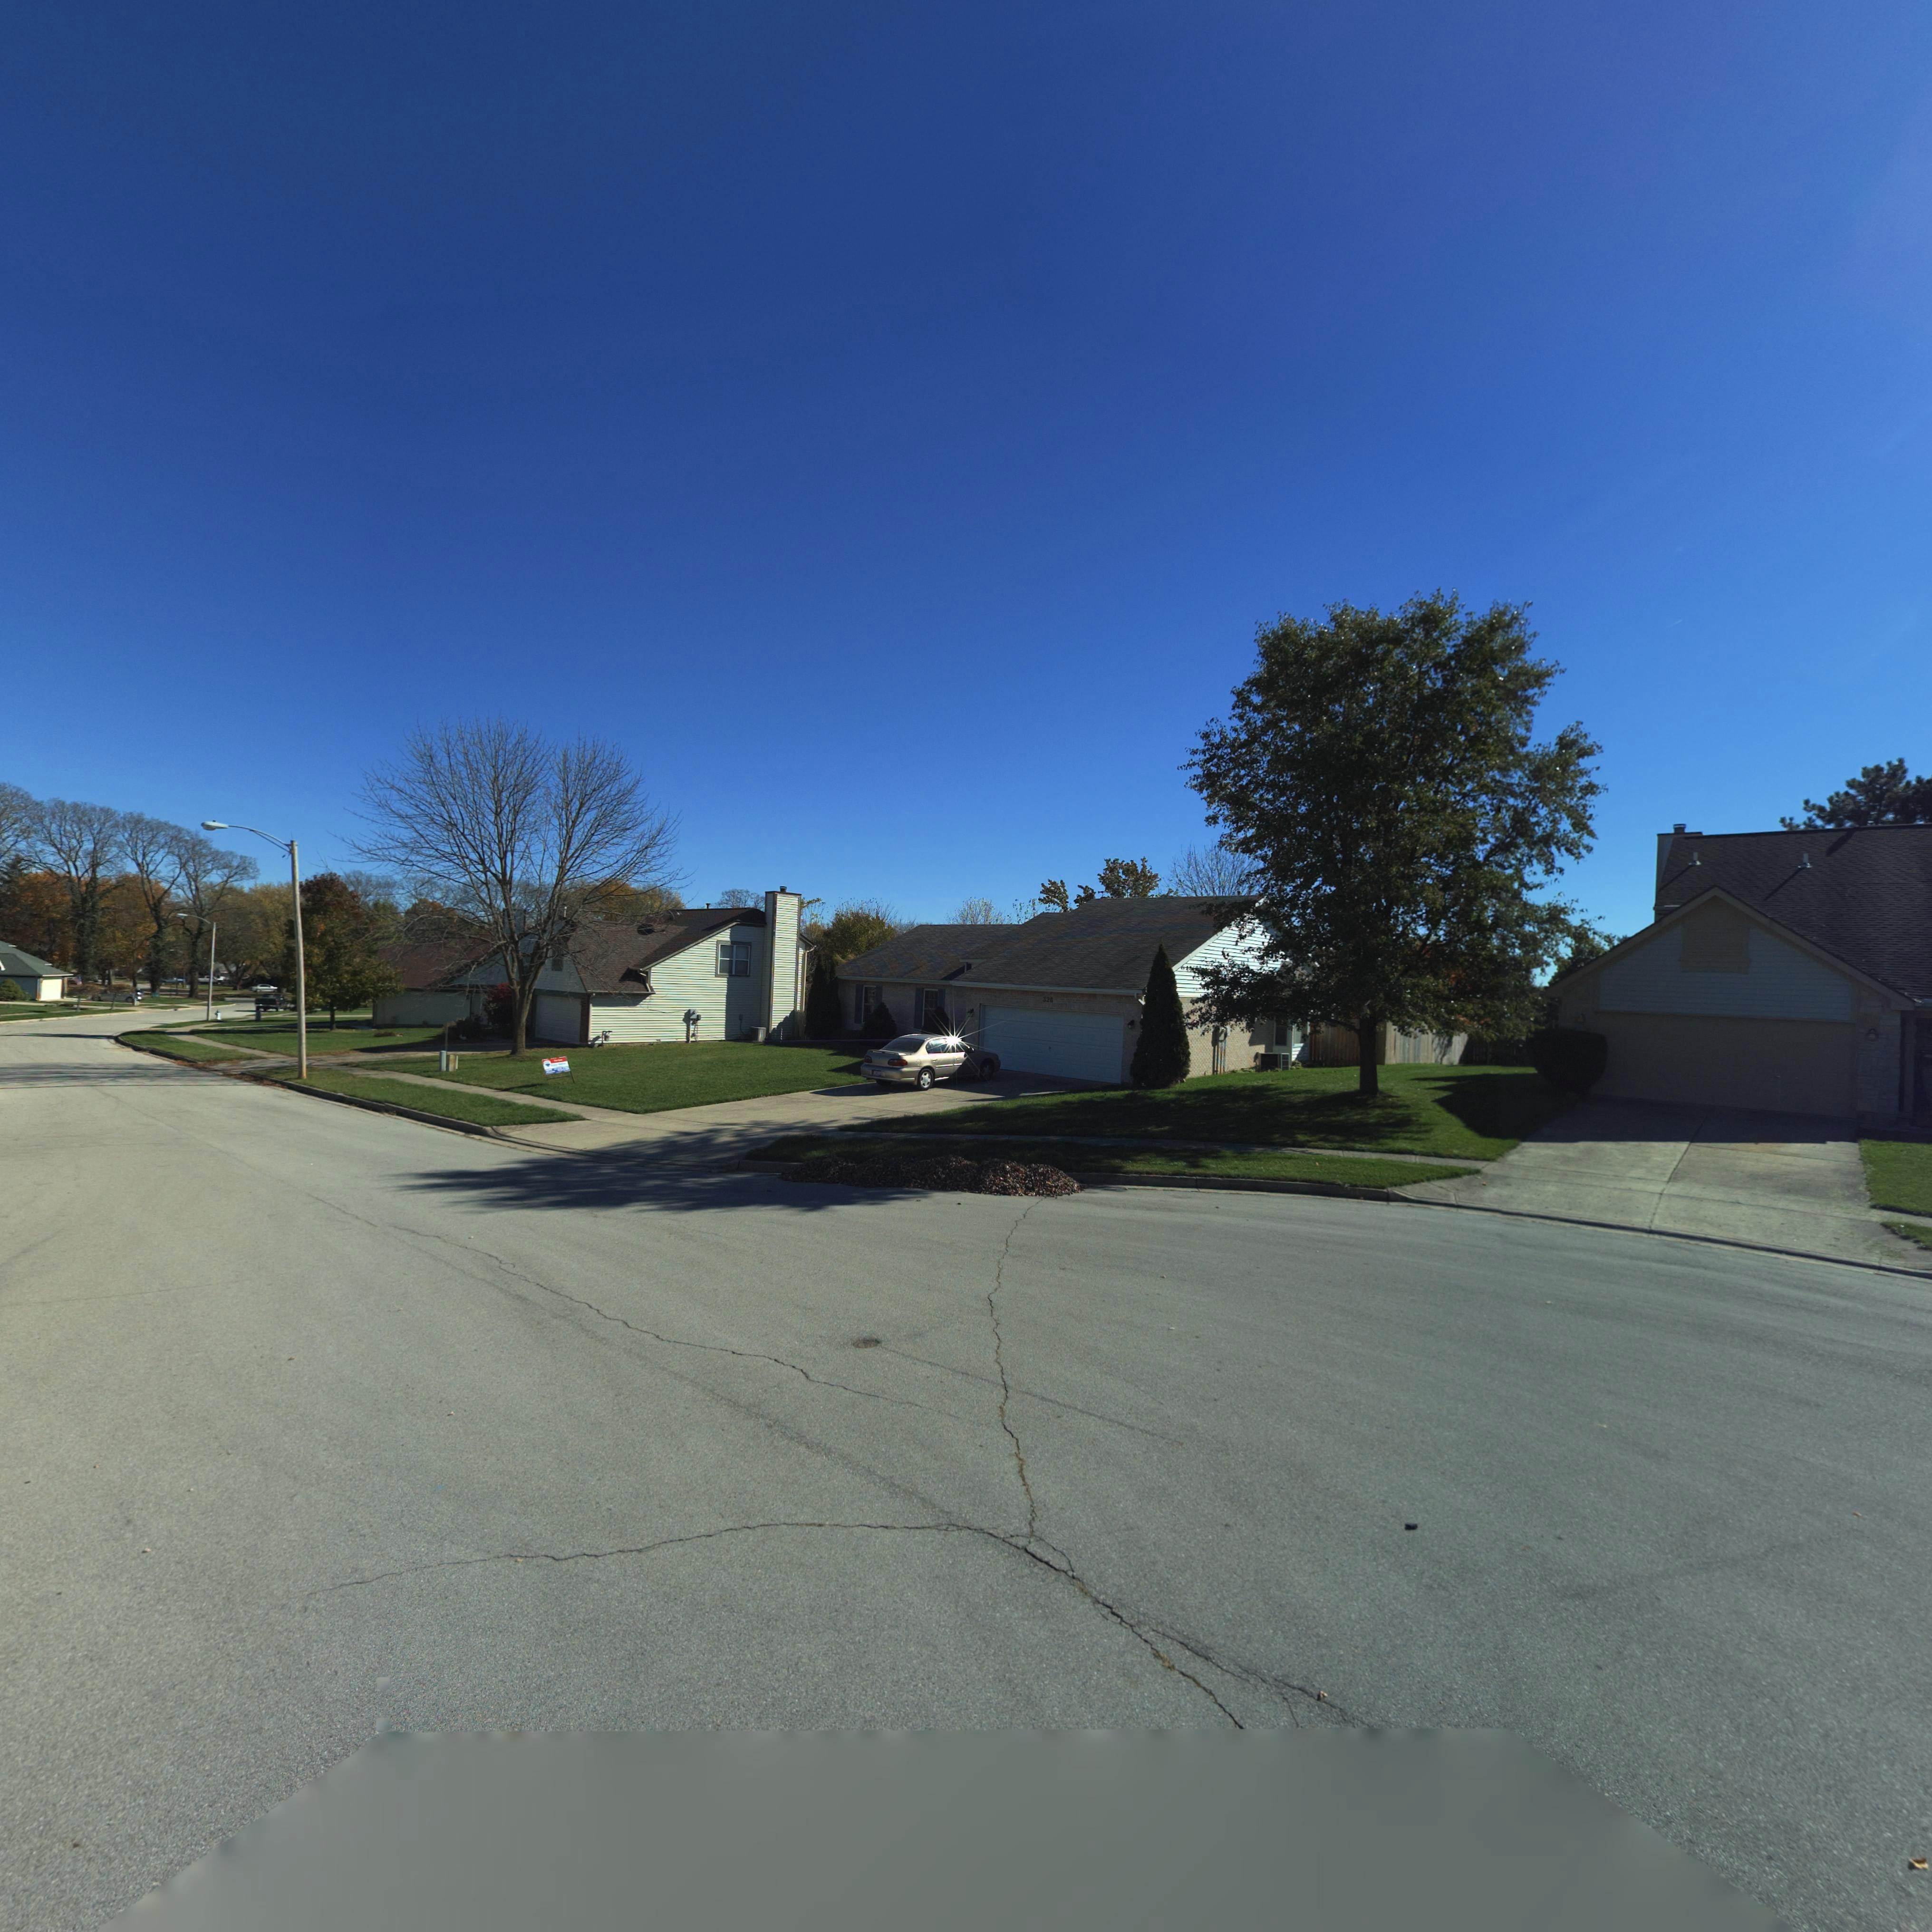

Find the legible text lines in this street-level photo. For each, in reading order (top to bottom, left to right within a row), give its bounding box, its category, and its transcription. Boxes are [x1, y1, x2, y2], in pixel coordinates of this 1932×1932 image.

[1042, 995, 1054, 1004] StreetNumber: 326